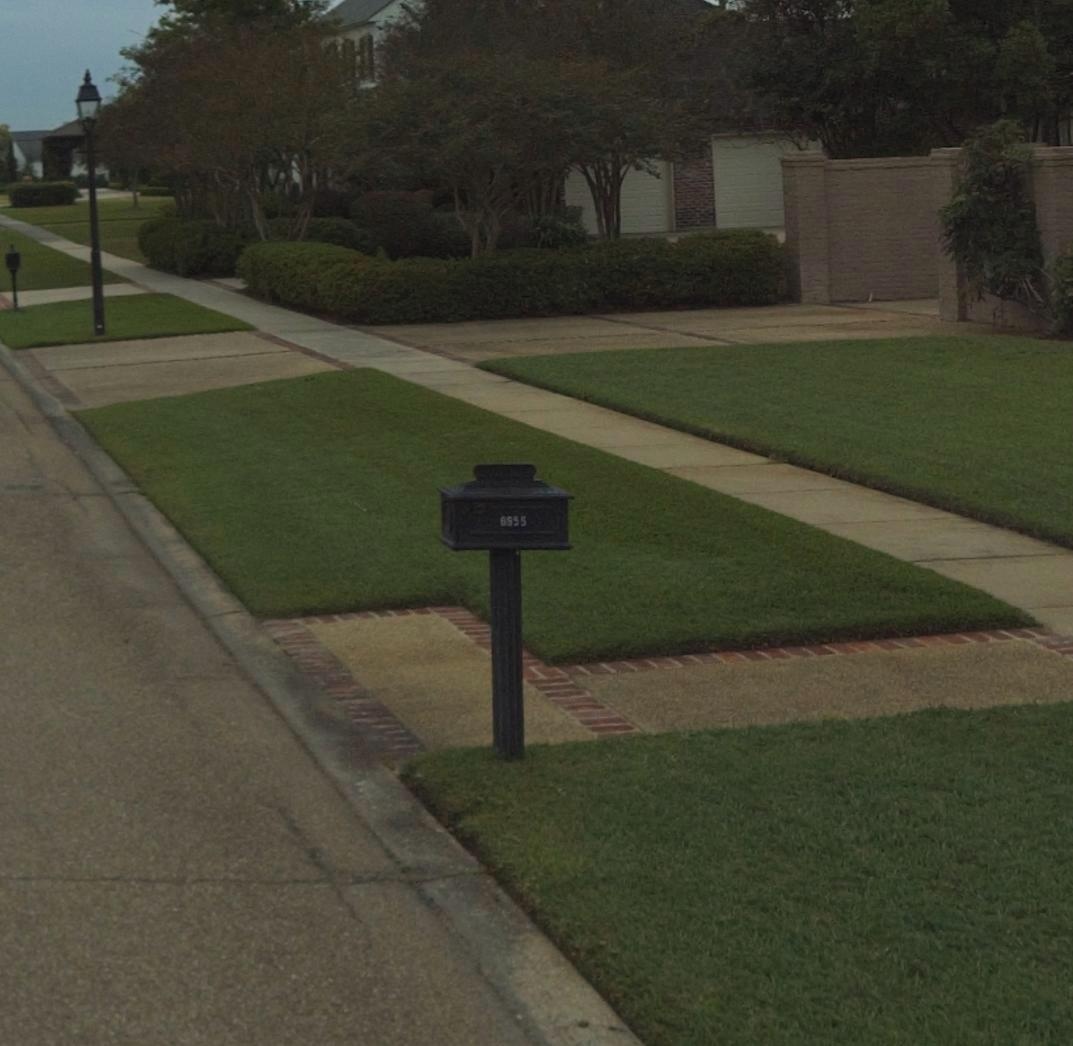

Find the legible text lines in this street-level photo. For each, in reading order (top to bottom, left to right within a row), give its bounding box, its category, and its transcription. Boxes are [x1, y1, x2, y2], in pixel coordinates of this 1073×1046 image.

[500, 515, 528, 528] StreetNumber: 8955